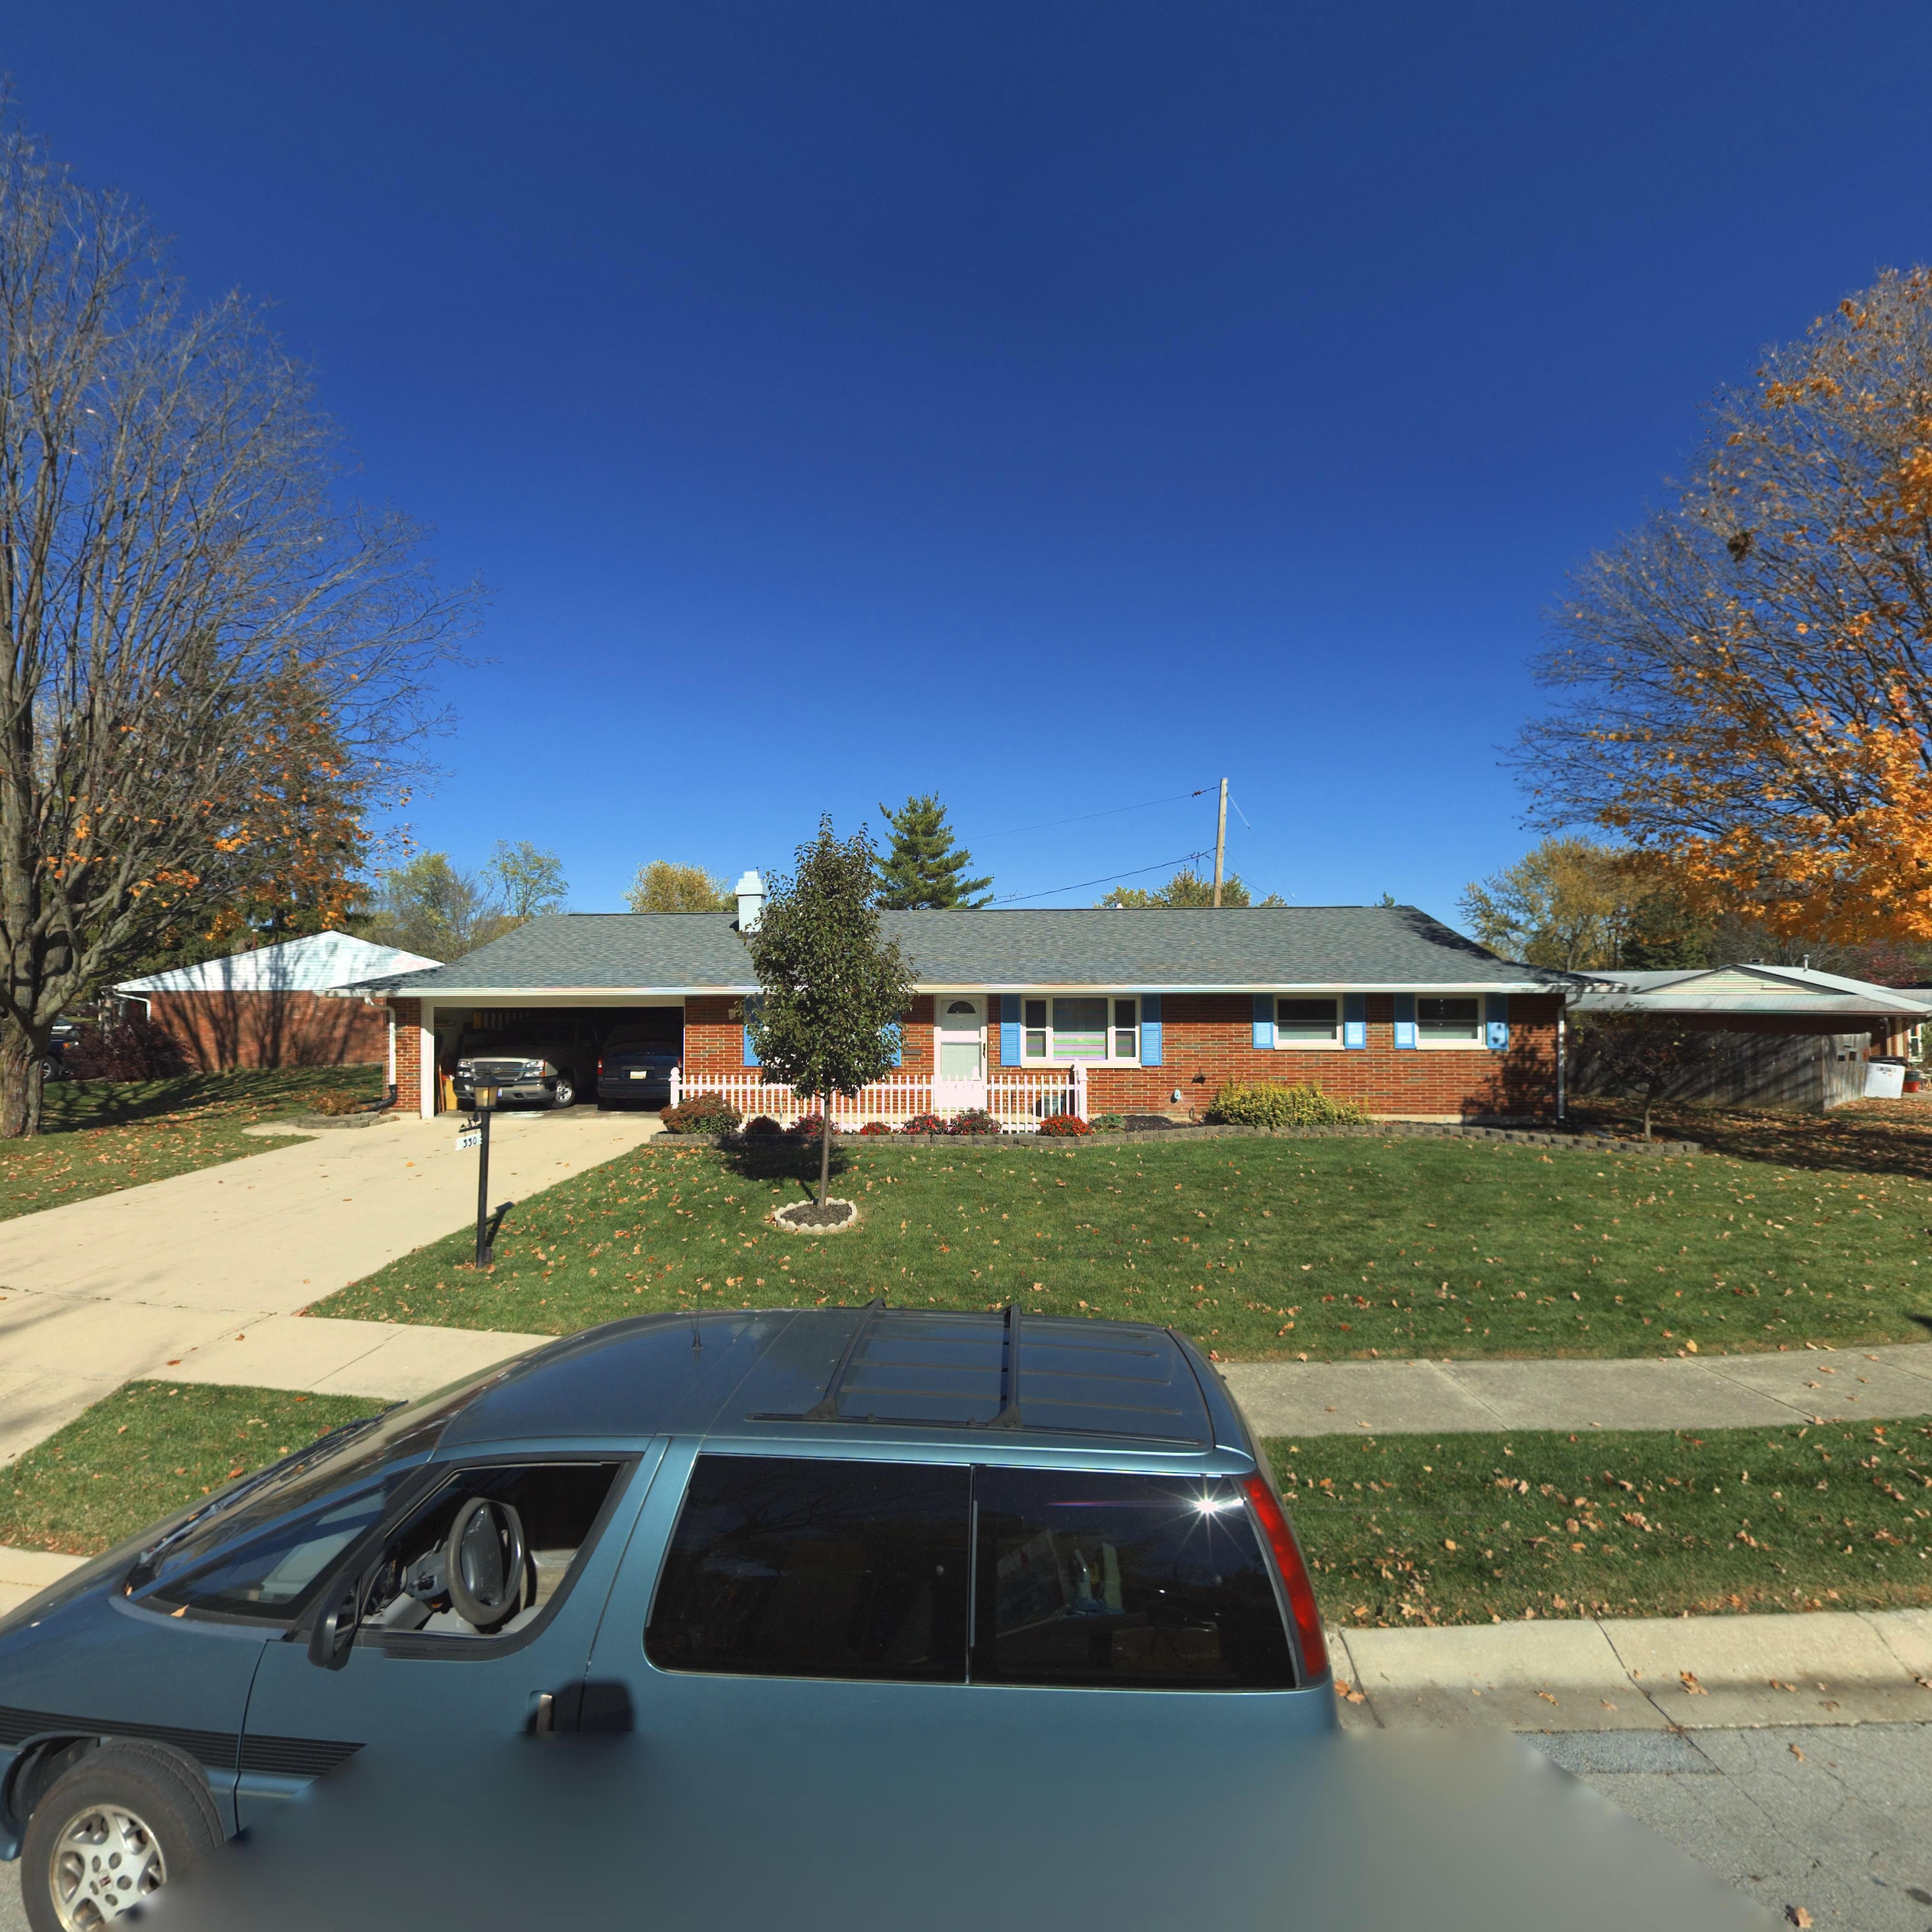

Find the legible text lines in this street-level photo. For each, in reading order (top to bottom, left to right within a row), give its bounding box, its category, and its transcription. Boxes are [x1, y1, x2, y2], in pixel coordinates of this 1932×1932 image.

[462, 1134, 478, 1150] StreetNumber: **0